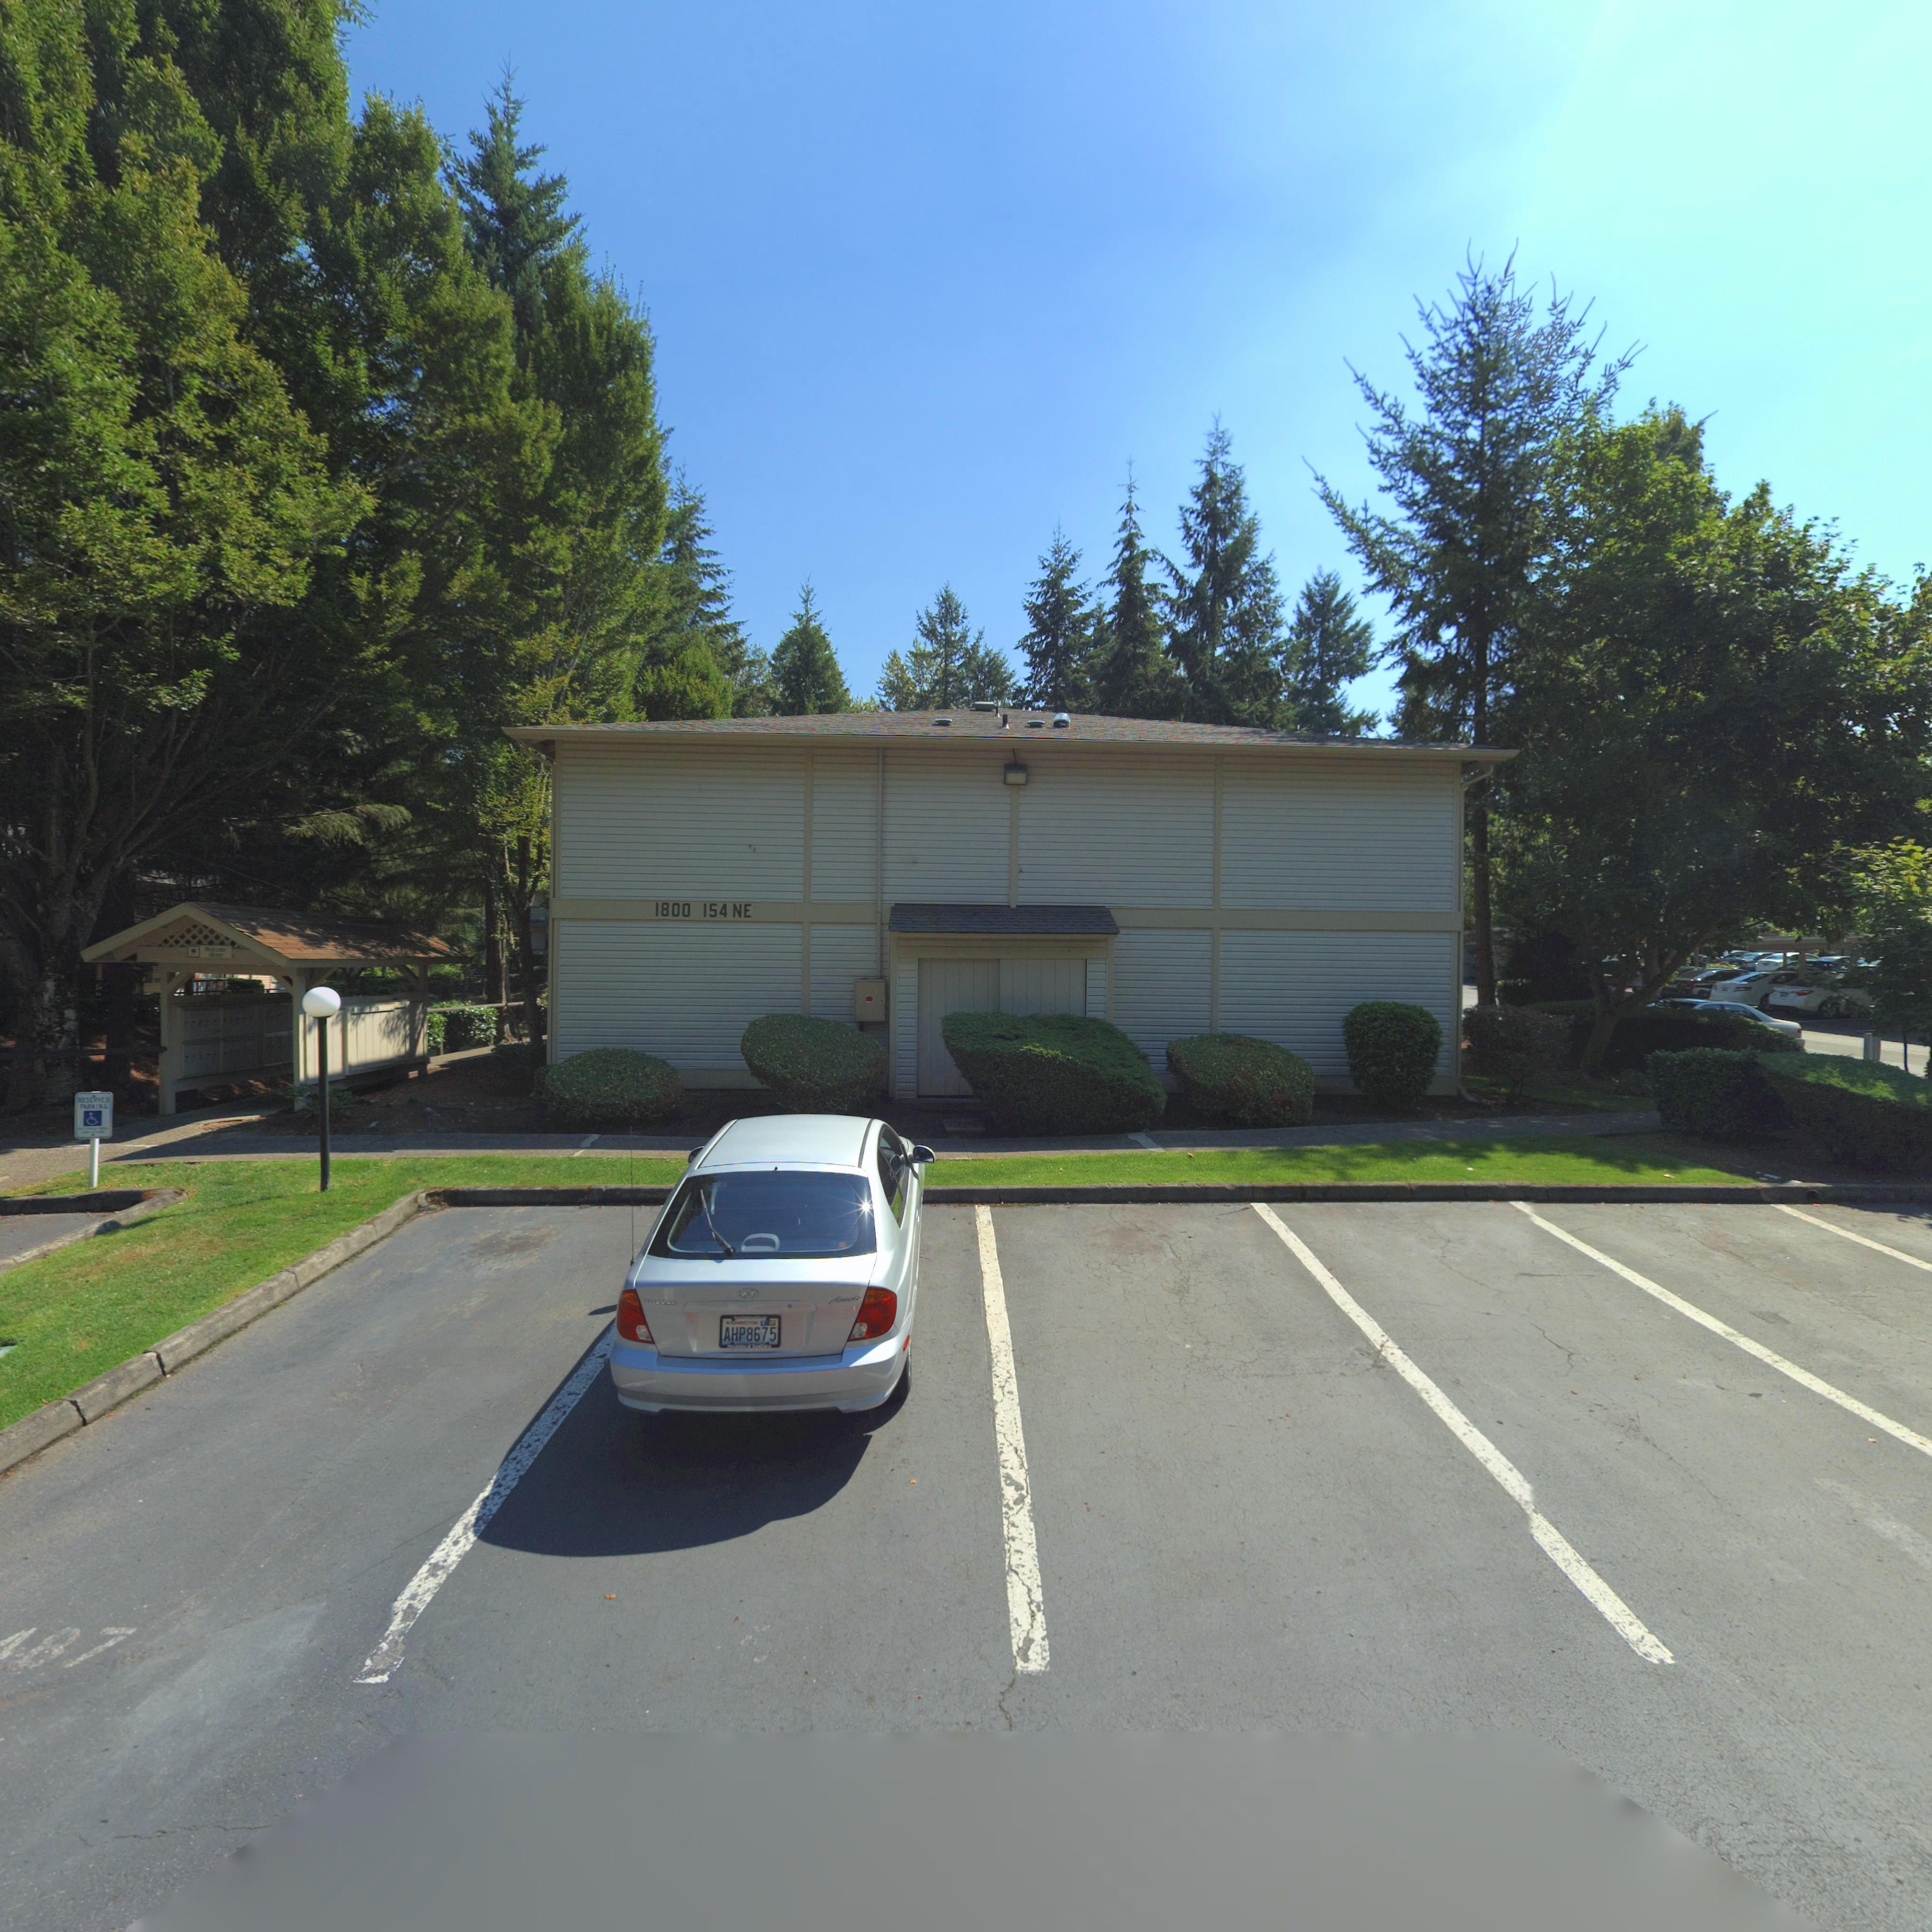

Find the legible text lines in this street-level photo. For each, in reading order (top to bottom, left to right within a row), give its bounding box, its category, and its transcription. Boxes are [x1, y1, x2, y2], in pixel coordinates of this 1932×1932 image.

[651, 898, 757, 920] StreetNumber: 1800 154 NE